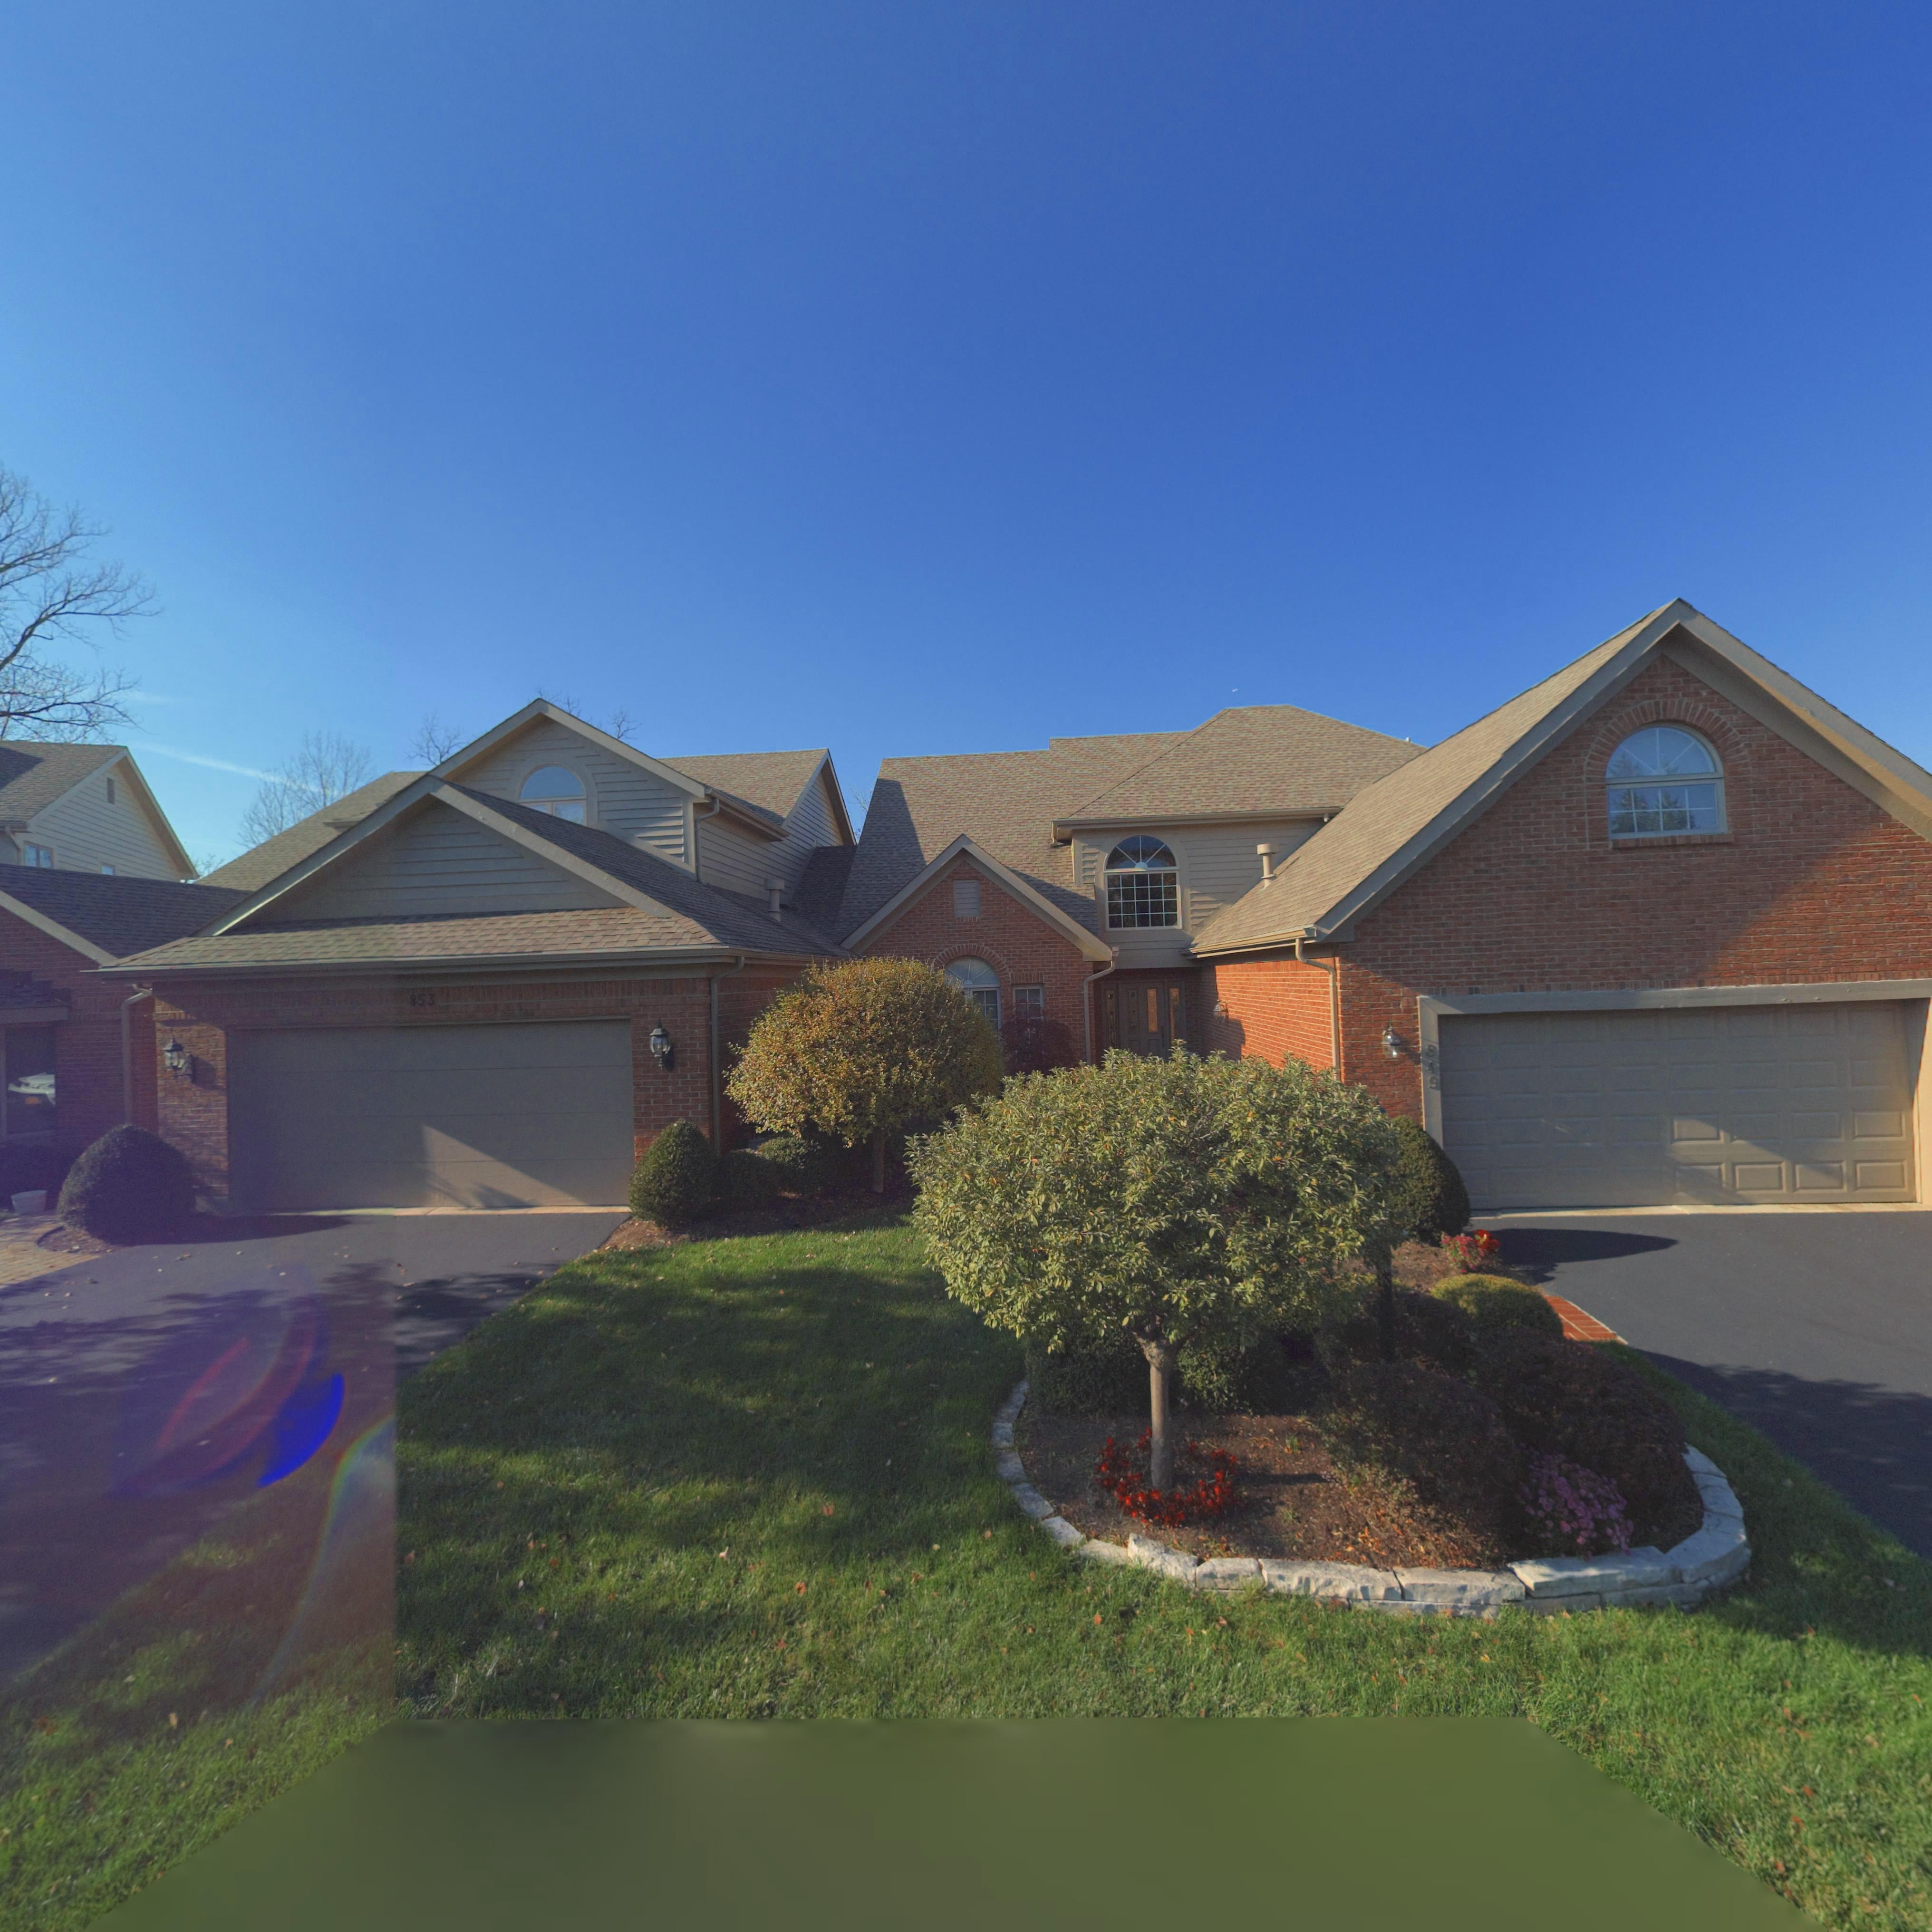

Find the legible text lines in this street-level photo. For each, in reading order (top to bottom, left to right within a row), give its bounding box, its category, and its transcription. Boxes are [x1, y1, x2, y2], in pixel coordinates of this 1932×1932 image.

[409, 992, 436, 1008] StreetNumber: 853
[1425, 1043, 1439, 1091] StreetNumber: 849